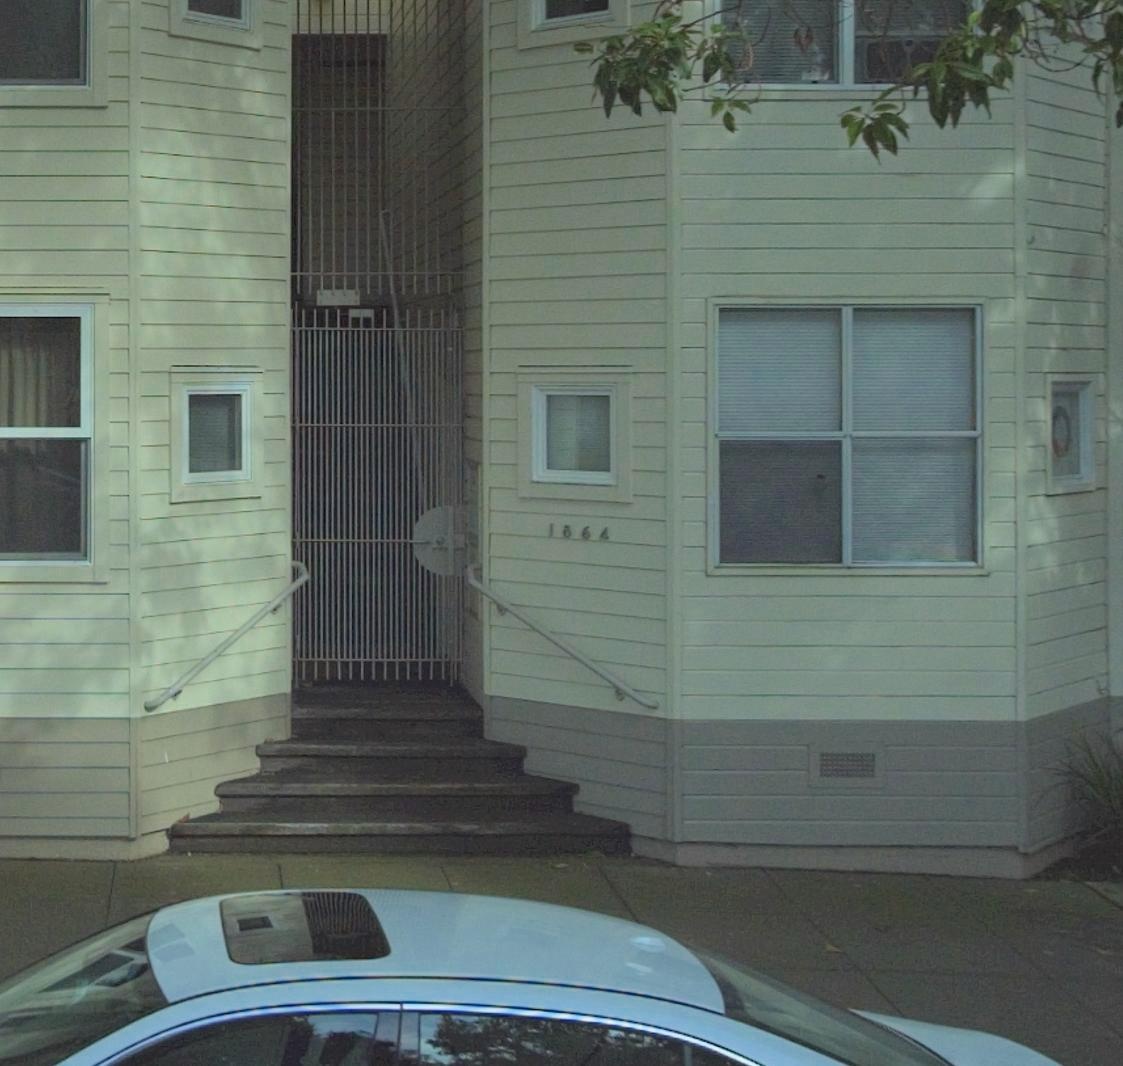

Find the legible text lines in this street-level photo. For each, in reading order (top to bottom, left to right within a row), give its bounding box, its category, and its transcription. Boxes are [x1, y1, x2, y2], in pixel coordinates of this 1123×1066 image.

[545, 520, 612, 545] StreetNumber: 1864